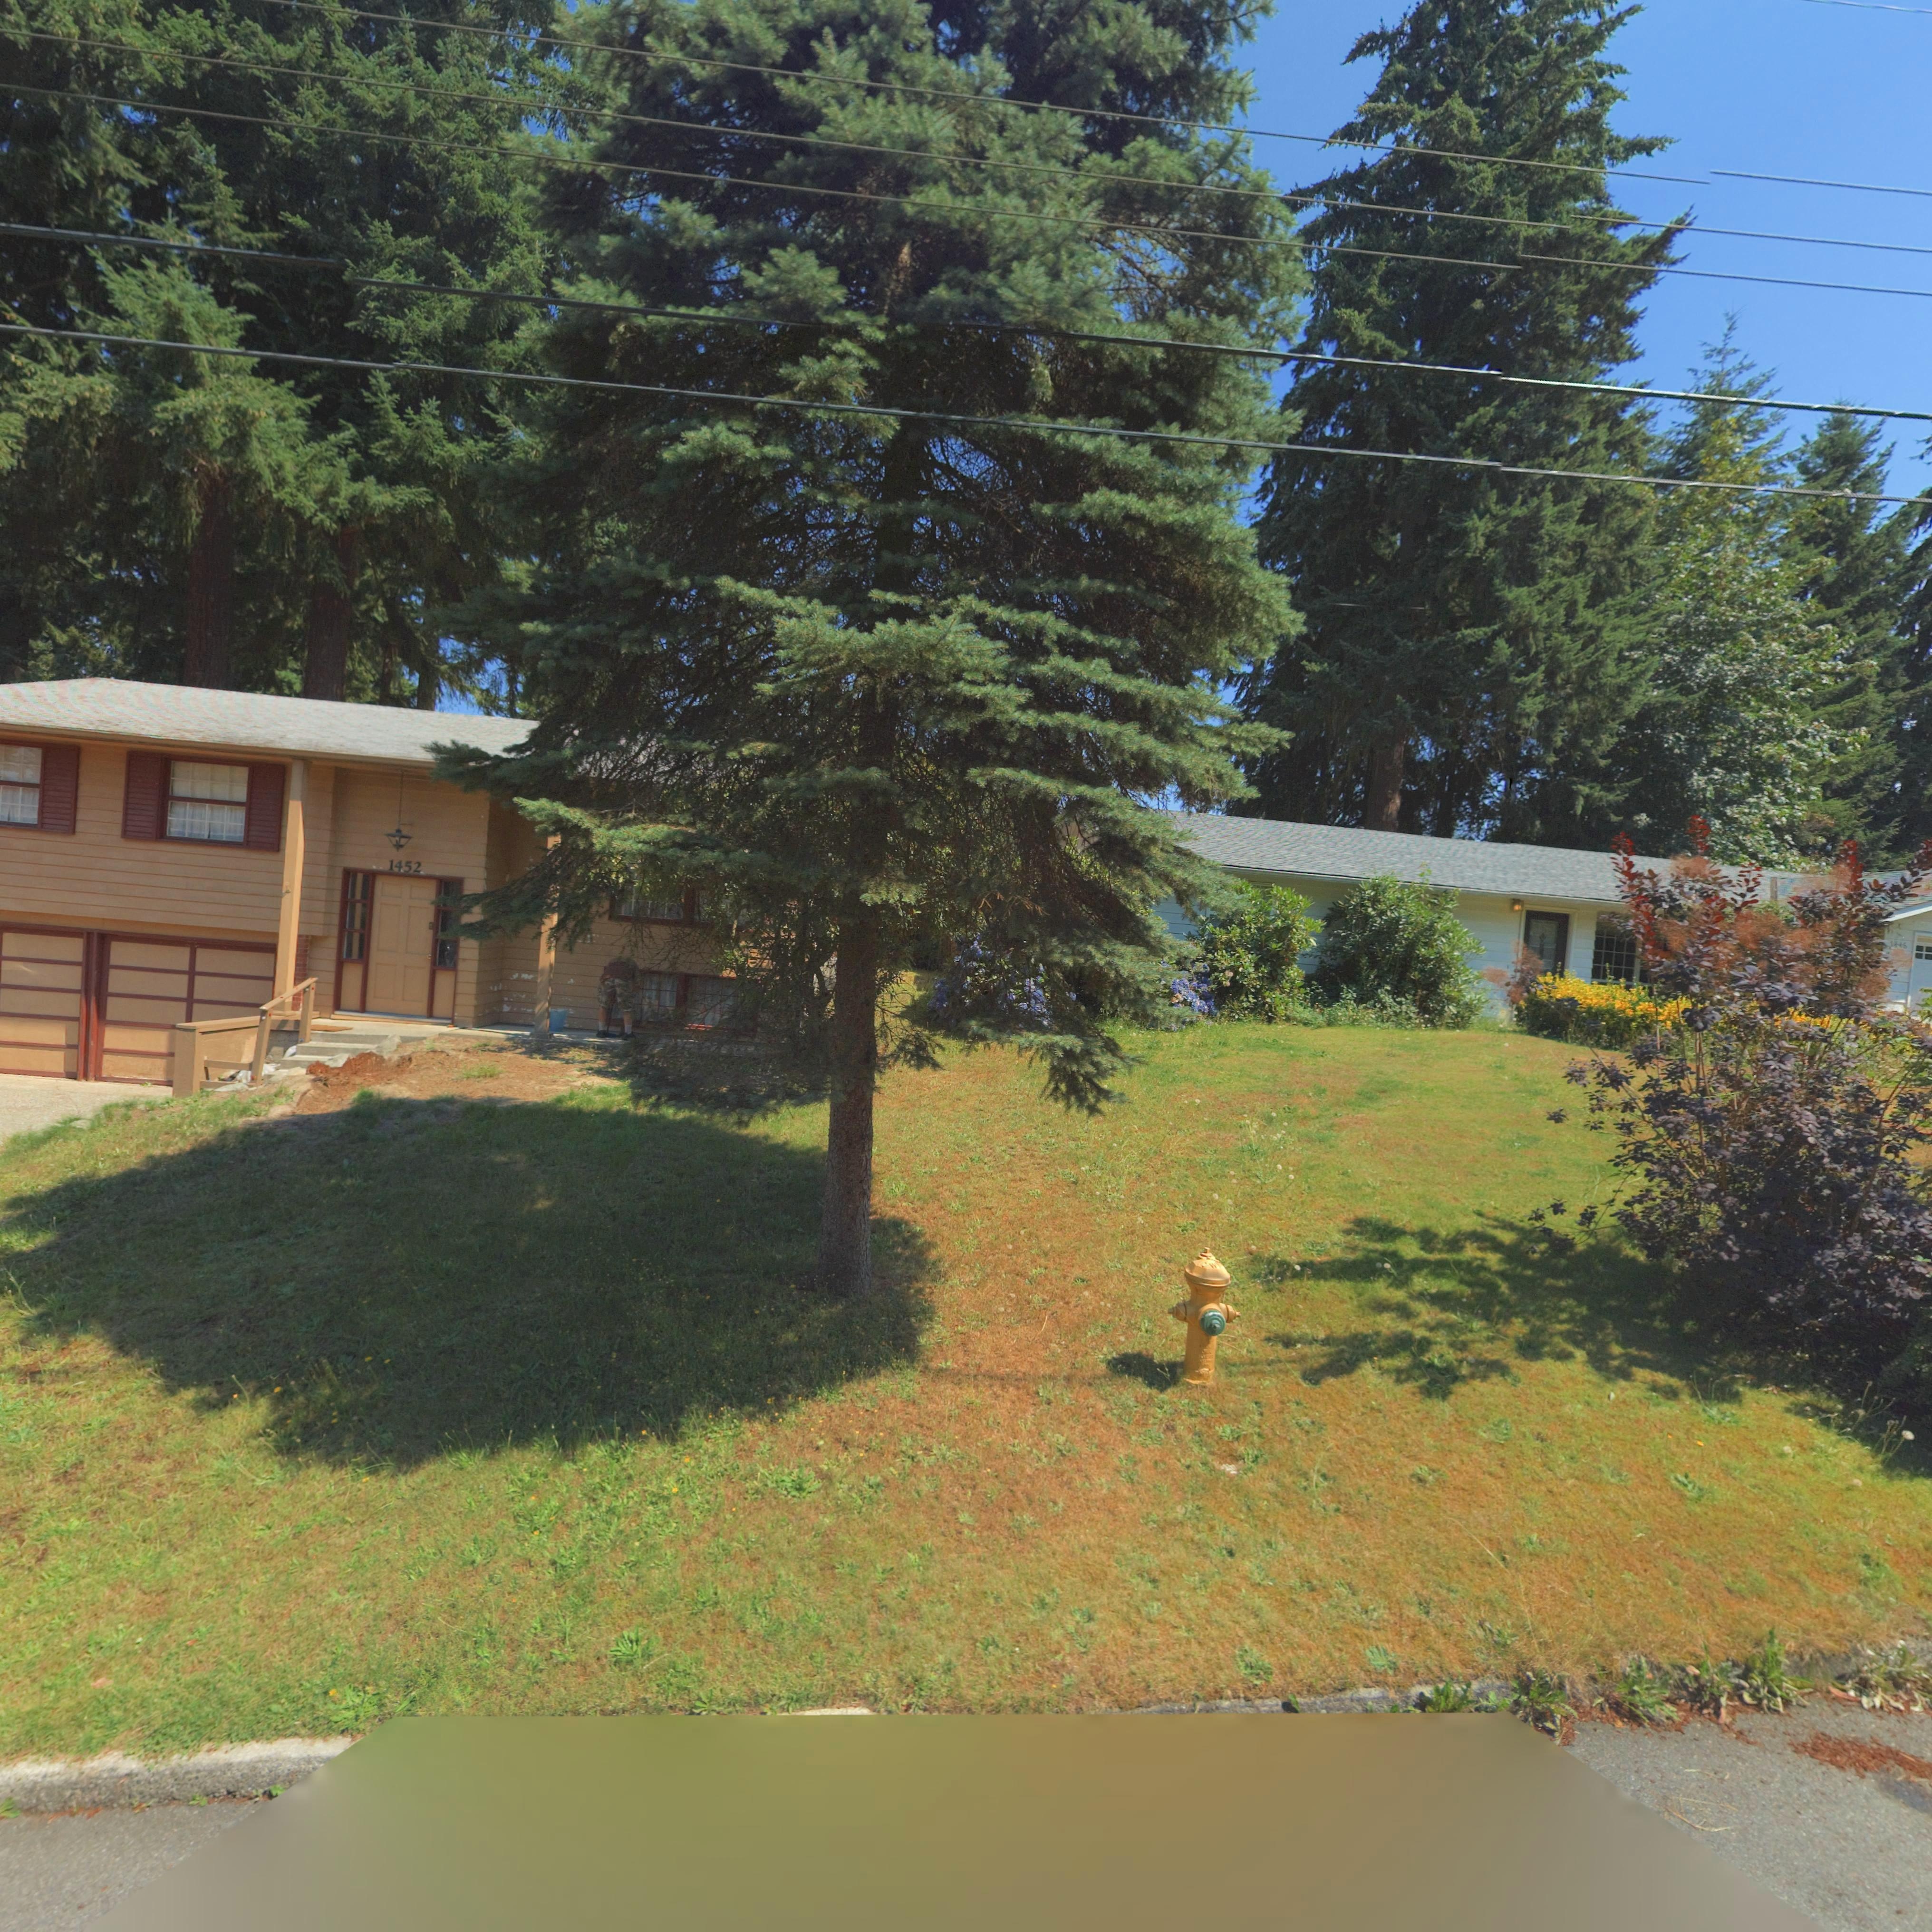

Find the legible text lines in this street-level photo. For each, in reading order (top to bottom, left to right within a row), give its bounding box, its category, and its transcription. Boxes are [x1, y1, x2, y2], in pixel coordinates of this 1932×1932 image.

[387, 859, 423, 874] StreetNumber: 1452